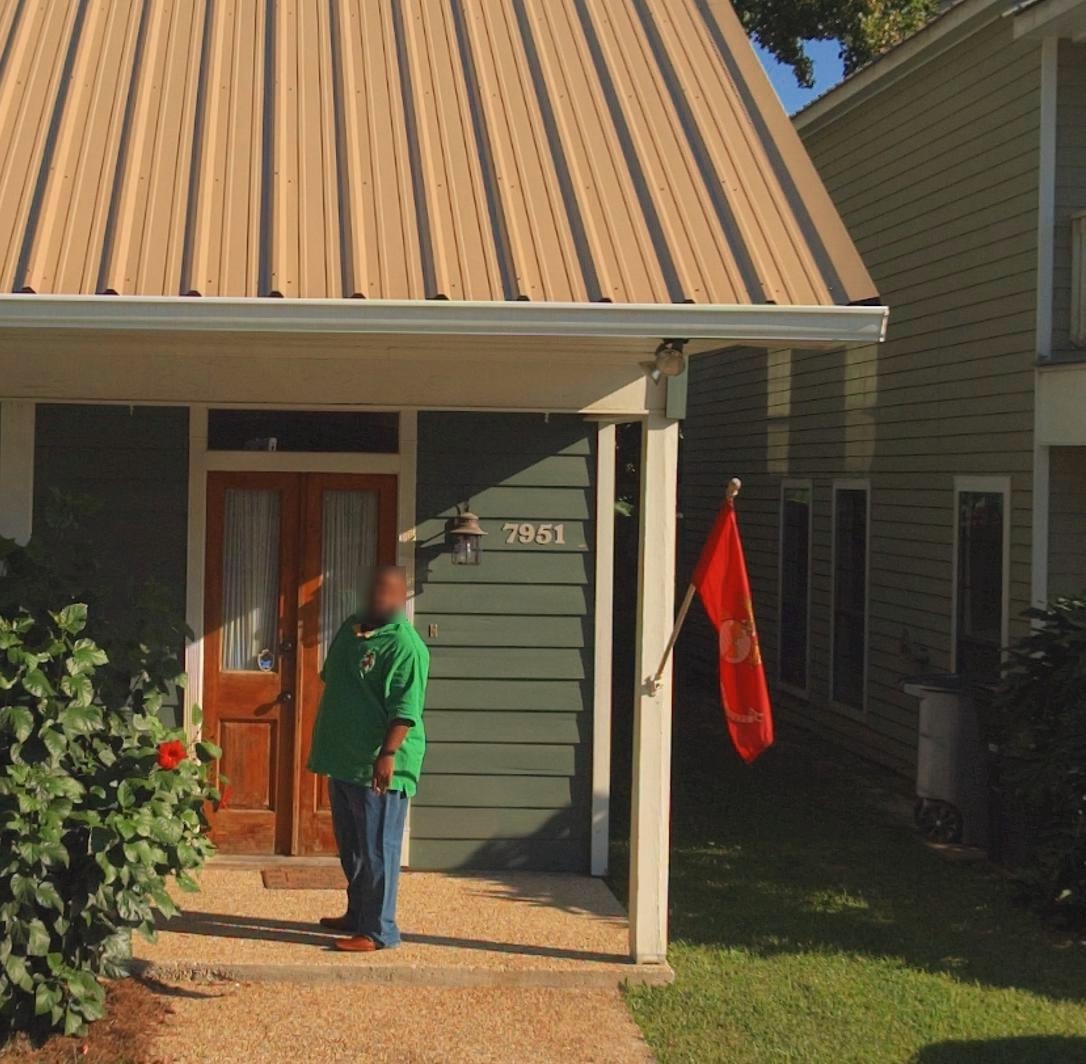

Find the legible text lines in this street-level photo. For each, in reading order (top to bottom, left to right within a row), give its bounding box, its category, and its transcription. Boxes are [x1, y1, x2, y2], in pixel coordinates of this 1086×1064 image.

[500, 521, 566, 545] StreetNumber: 7951